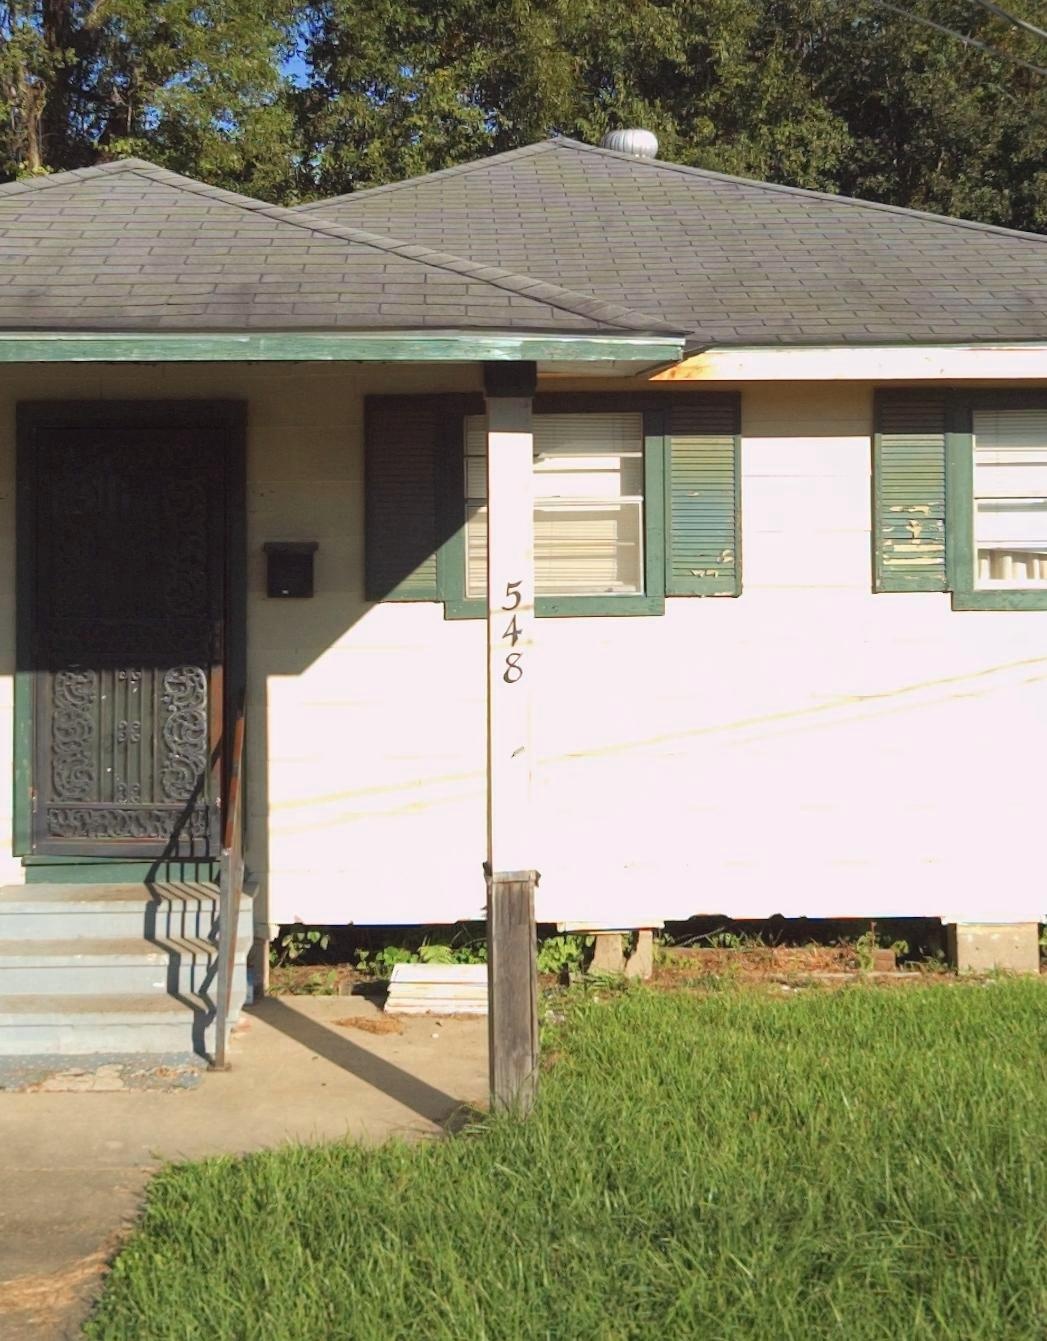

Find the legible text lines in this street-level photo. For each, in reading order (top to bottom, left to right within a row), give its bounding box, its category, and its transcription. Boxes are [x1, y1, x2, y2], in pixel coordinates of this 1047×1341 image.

[500, 578, 526, 687] StreetNumber: 548